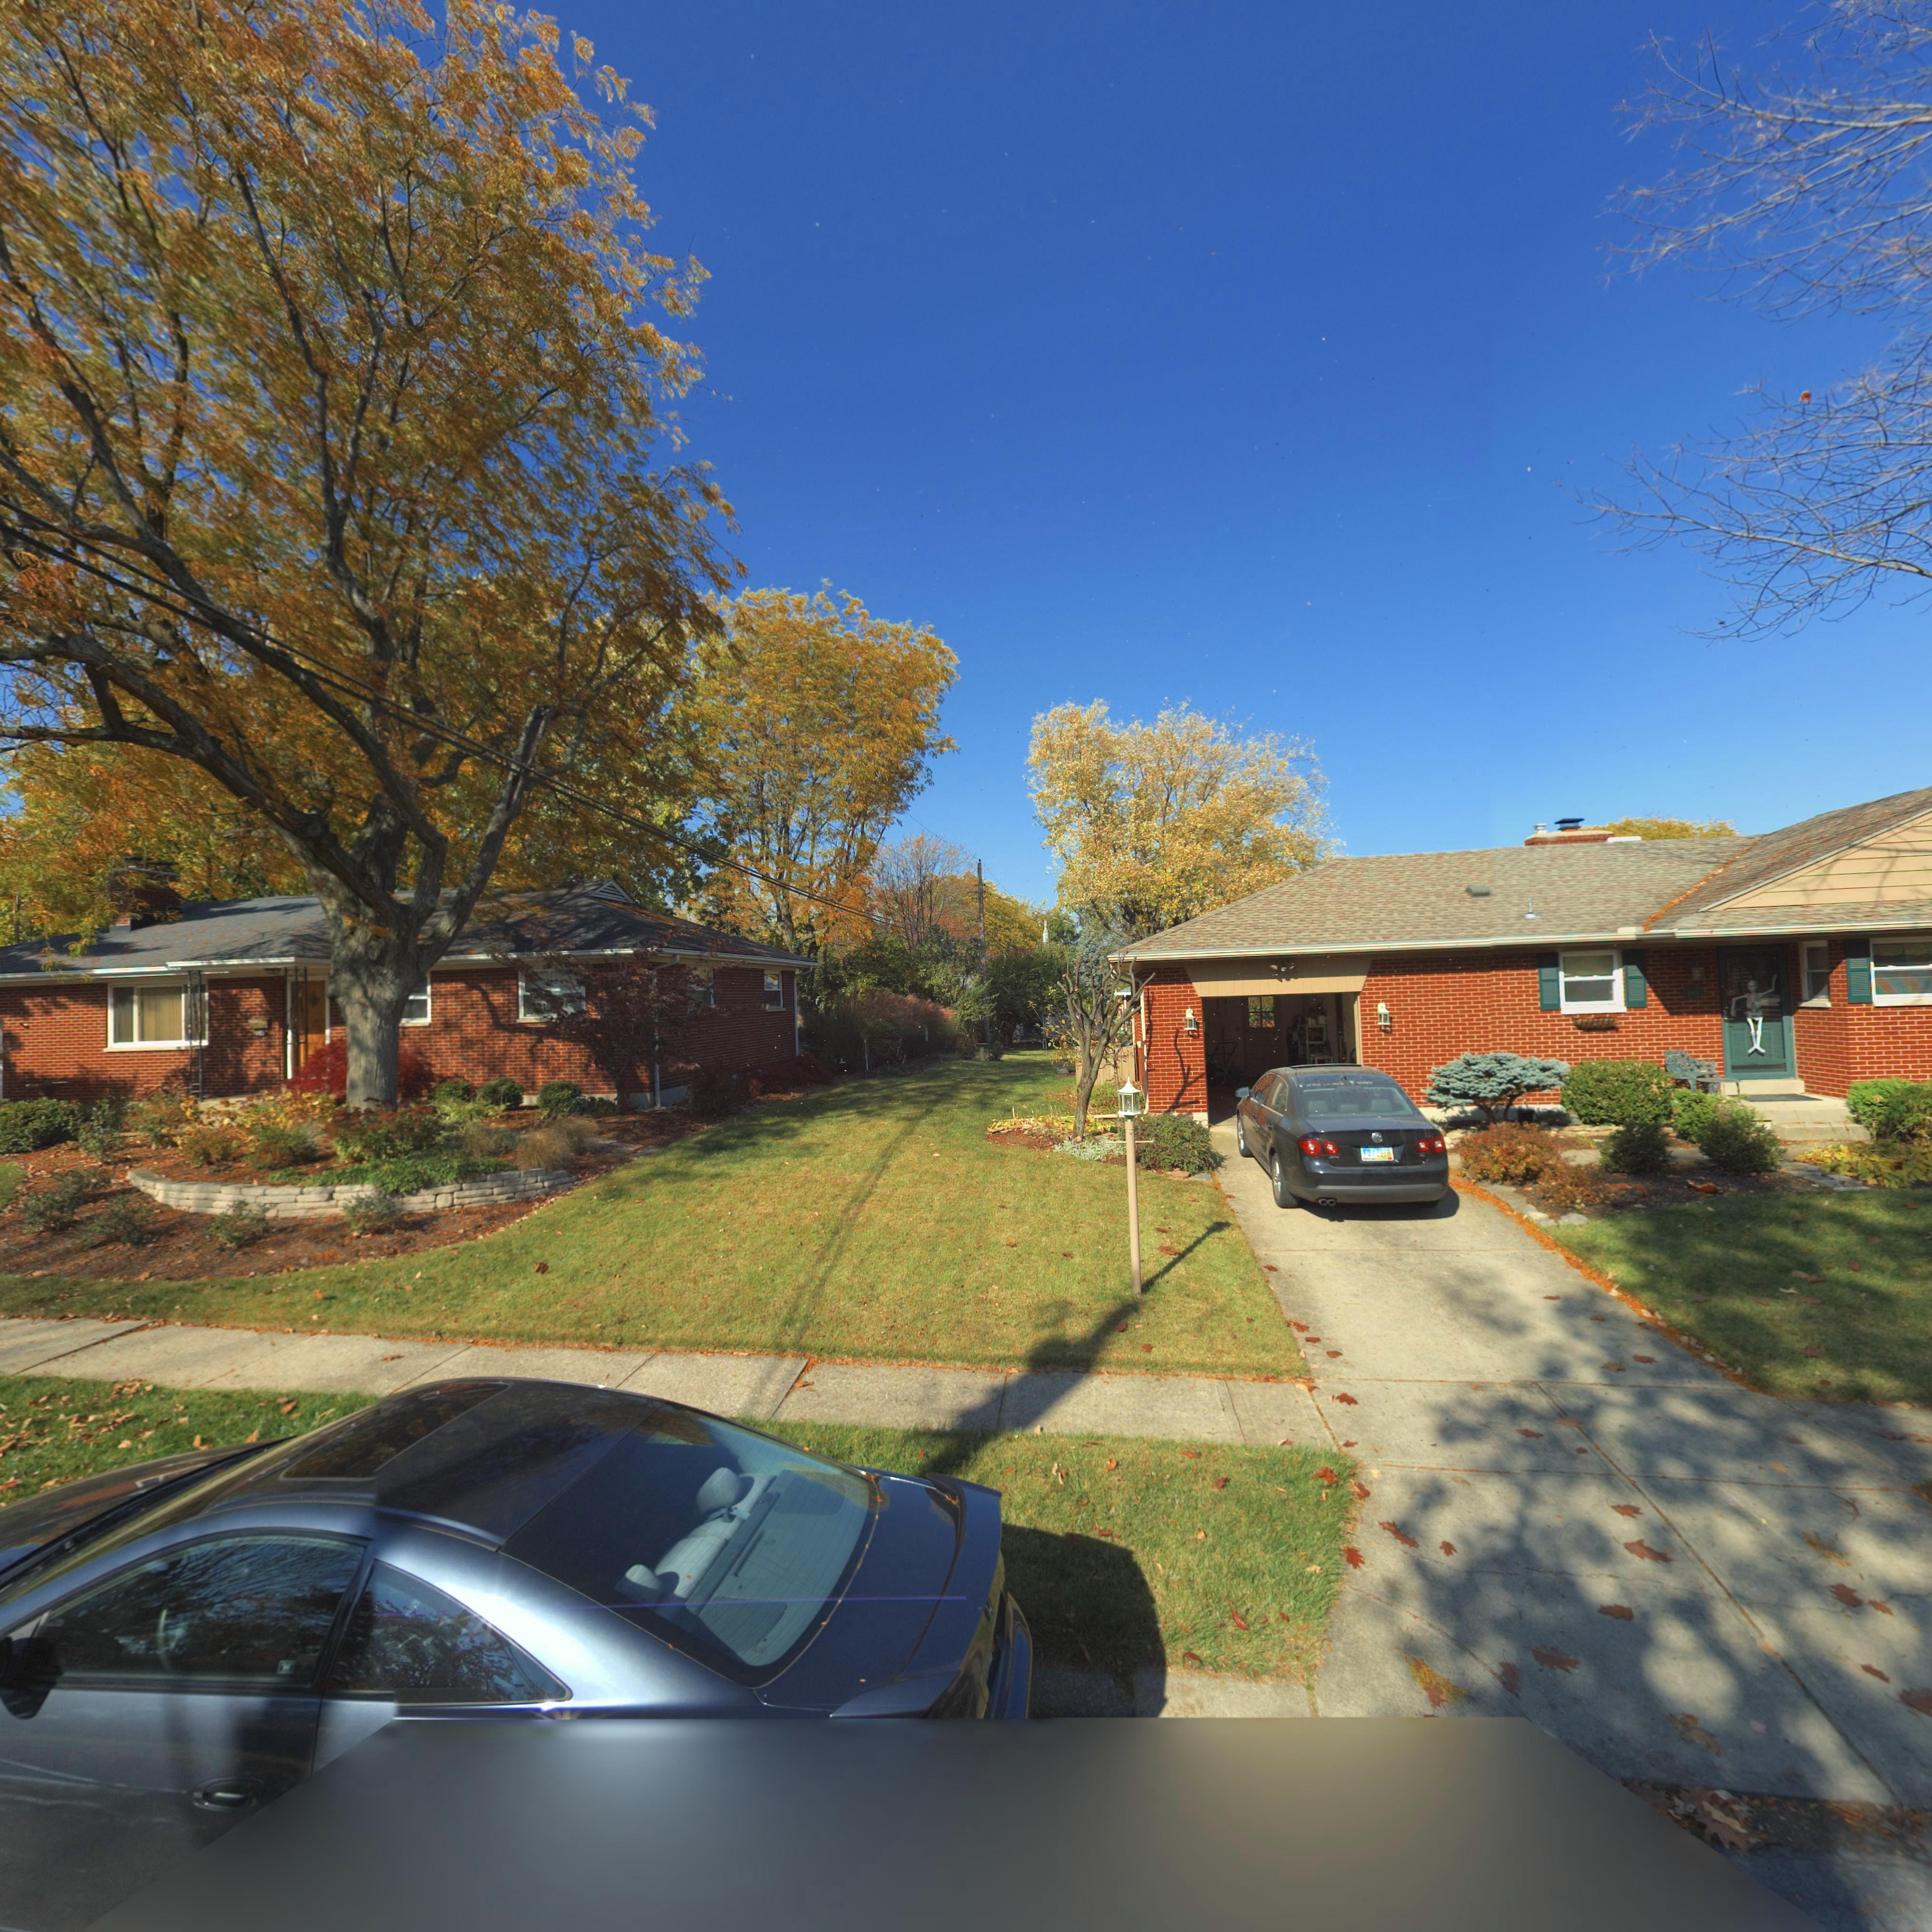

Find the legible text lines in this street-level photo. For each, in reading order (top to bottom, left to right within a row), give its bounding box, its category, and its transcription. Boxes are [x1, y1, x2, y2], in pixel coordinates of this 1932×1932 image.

[253, 1030, 265, 1036] StreetNumber: 1065
[1362, 1149, 1392, 1158] None: FOJ2918